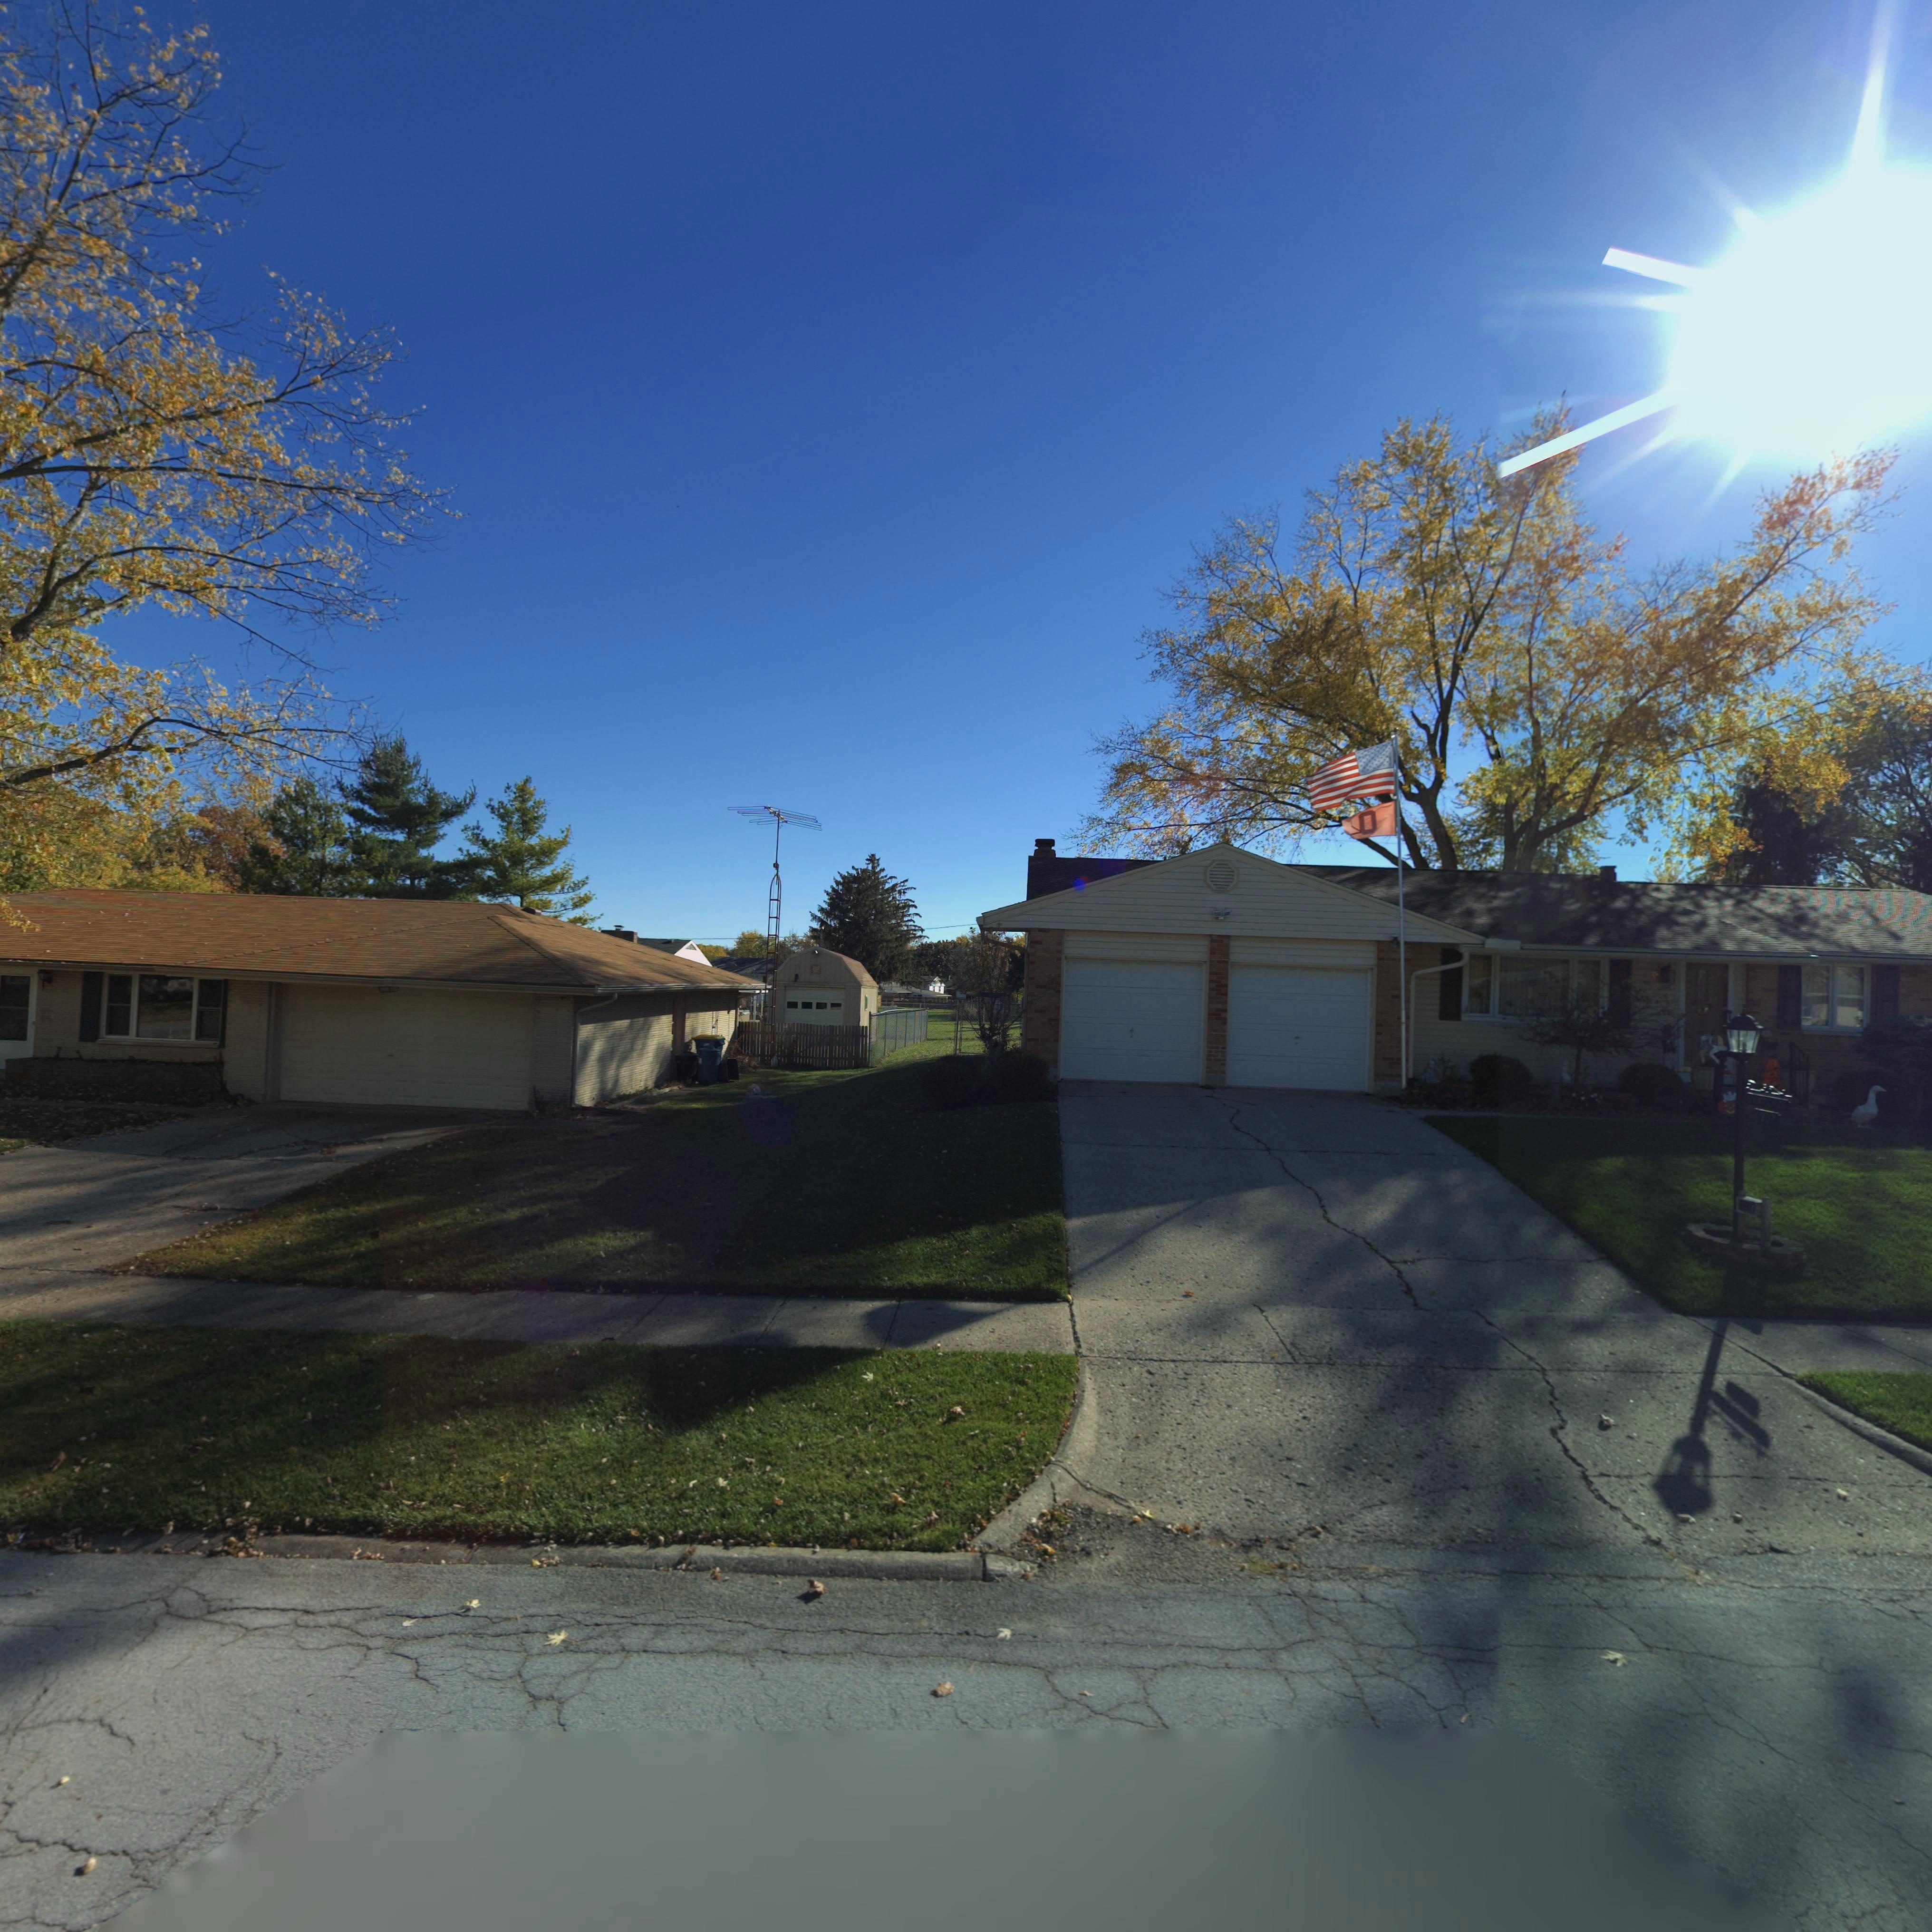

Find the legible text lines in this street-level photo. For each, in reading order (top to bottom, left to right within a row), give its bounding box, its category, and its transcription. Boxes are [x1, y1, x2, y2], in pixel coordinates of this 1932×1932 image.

[1752, 1110, 1777, 1126] StreetNumber: 6907
[1737, 1198, 1757, 1216] StreetNumber: 6***